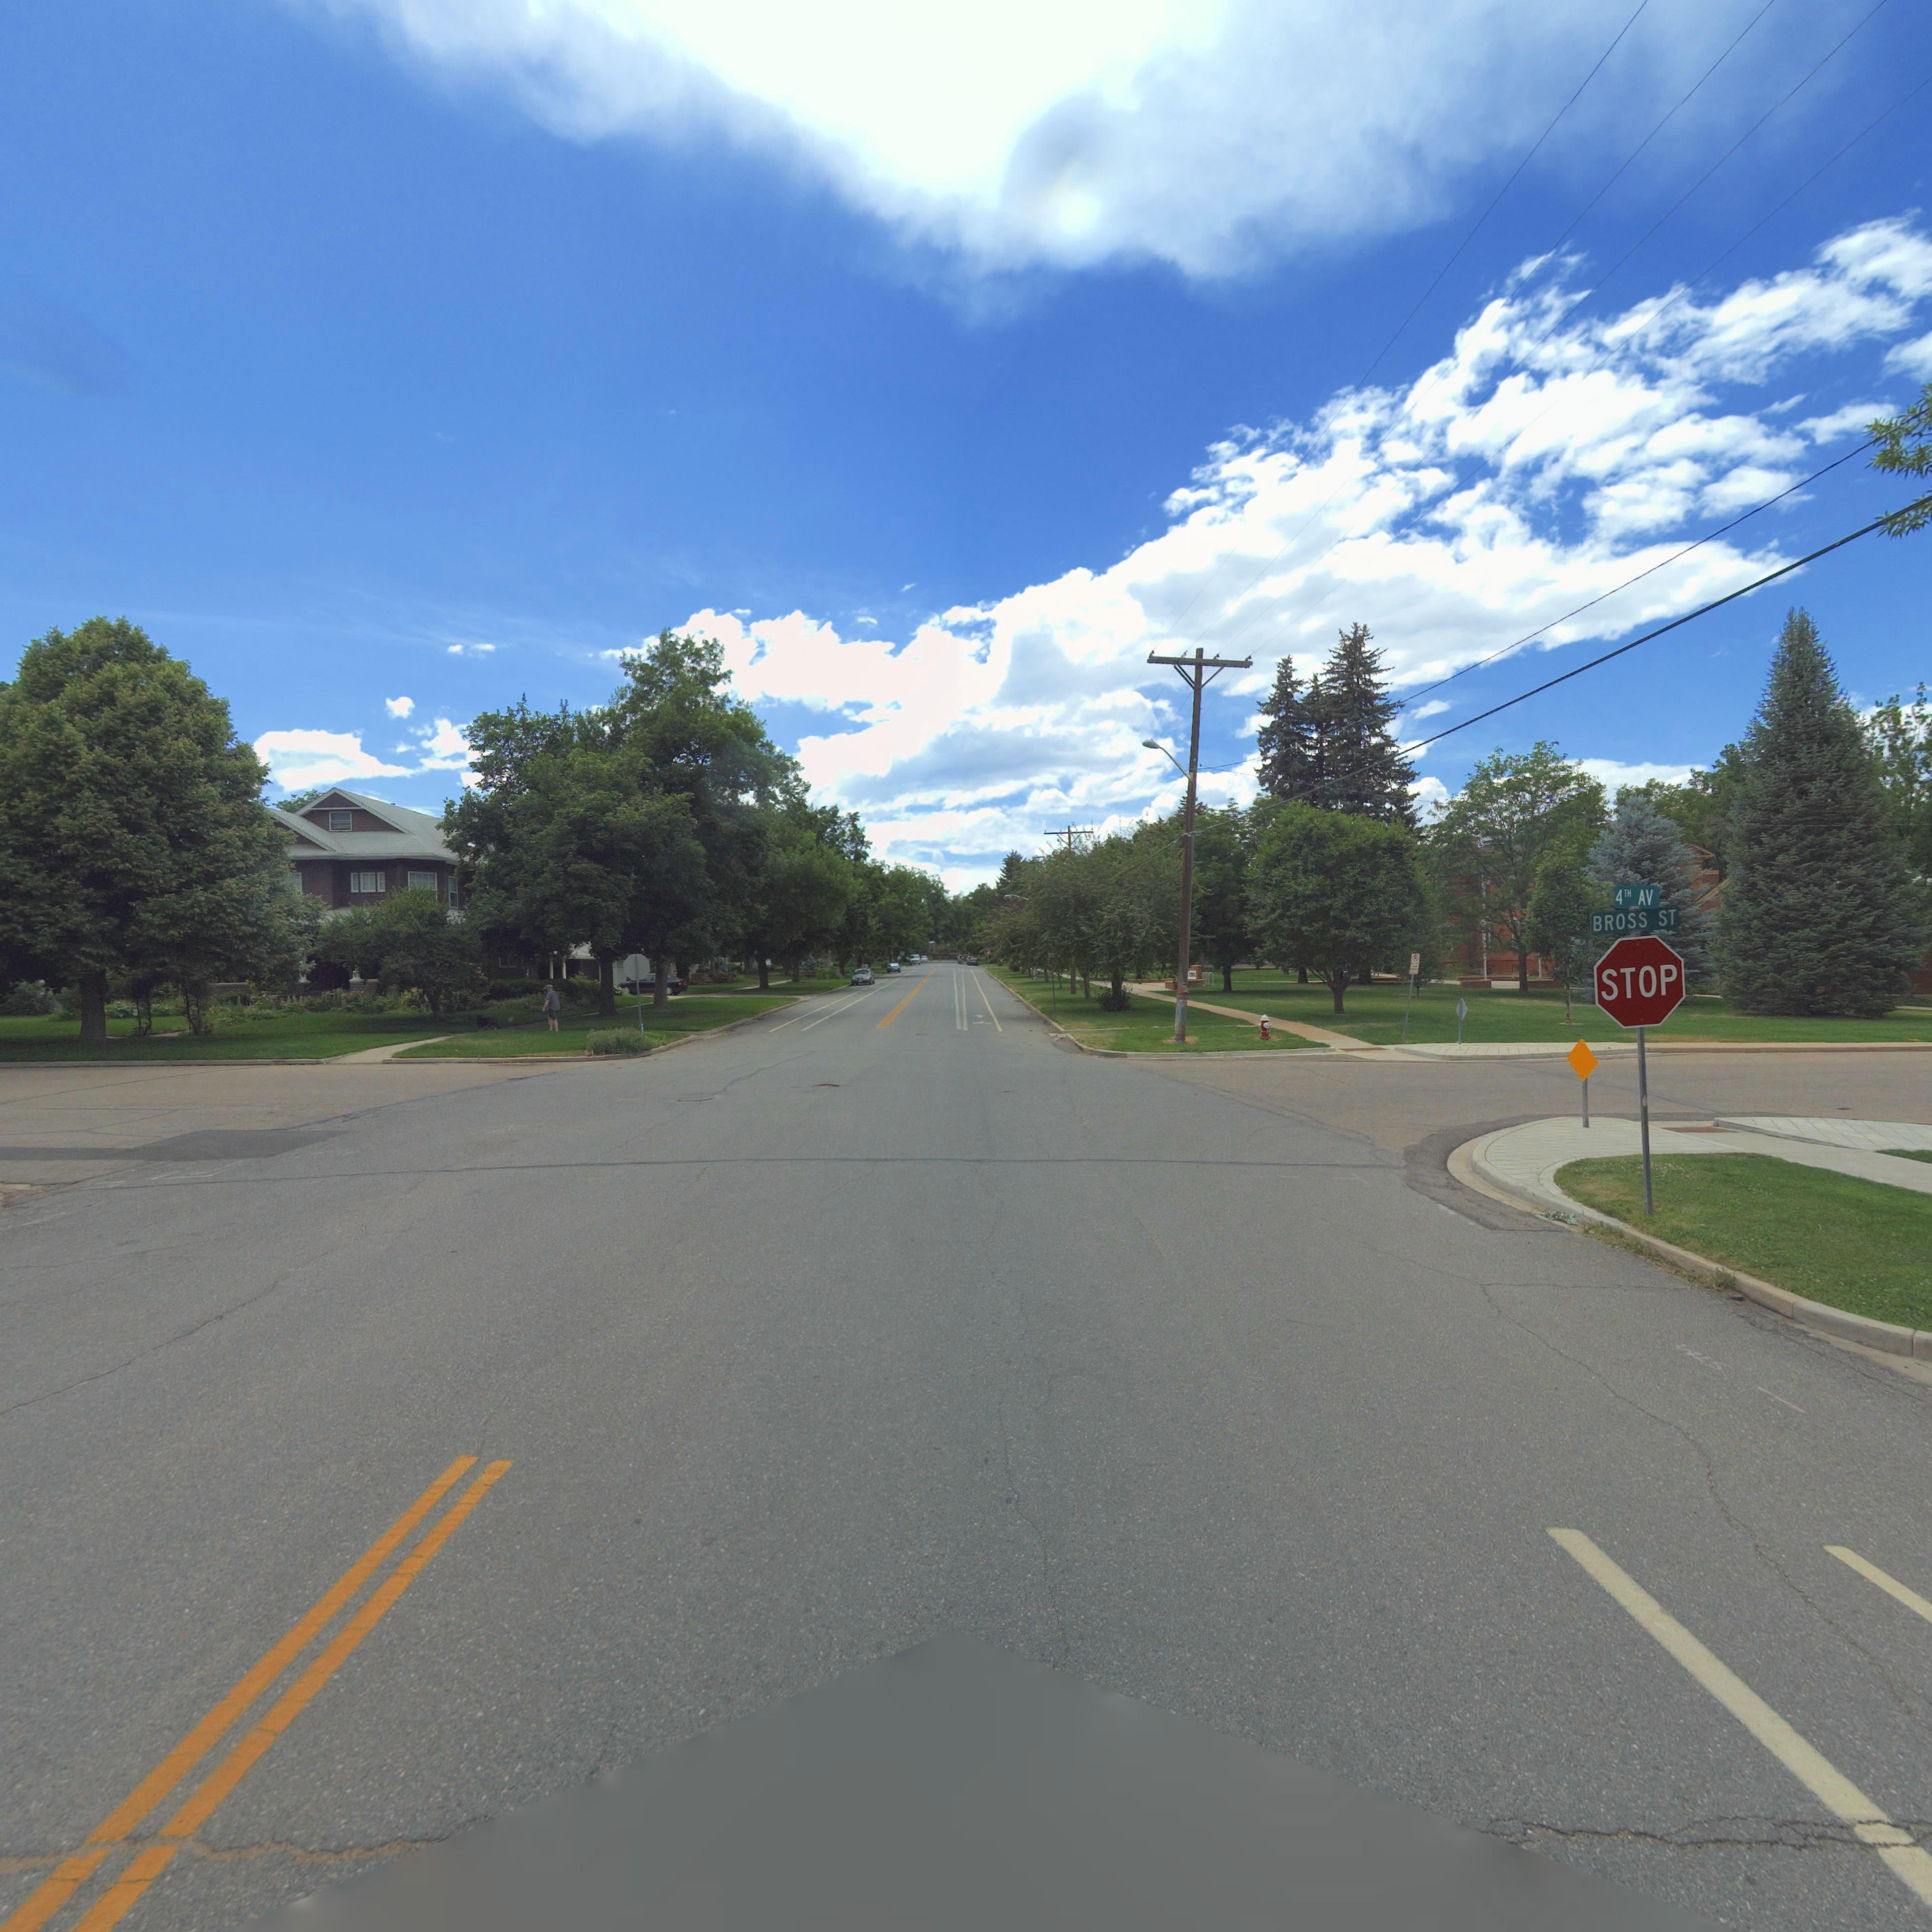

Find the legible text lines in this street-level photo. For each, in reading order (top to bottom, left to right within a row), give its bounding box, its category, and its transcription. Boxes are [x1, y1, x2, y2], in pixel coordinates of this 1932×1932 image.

[1614, 889, 1654, 905] StreetName: 4TH AV
[1592, 908, 1677, 932] StreetName: BROSS ST